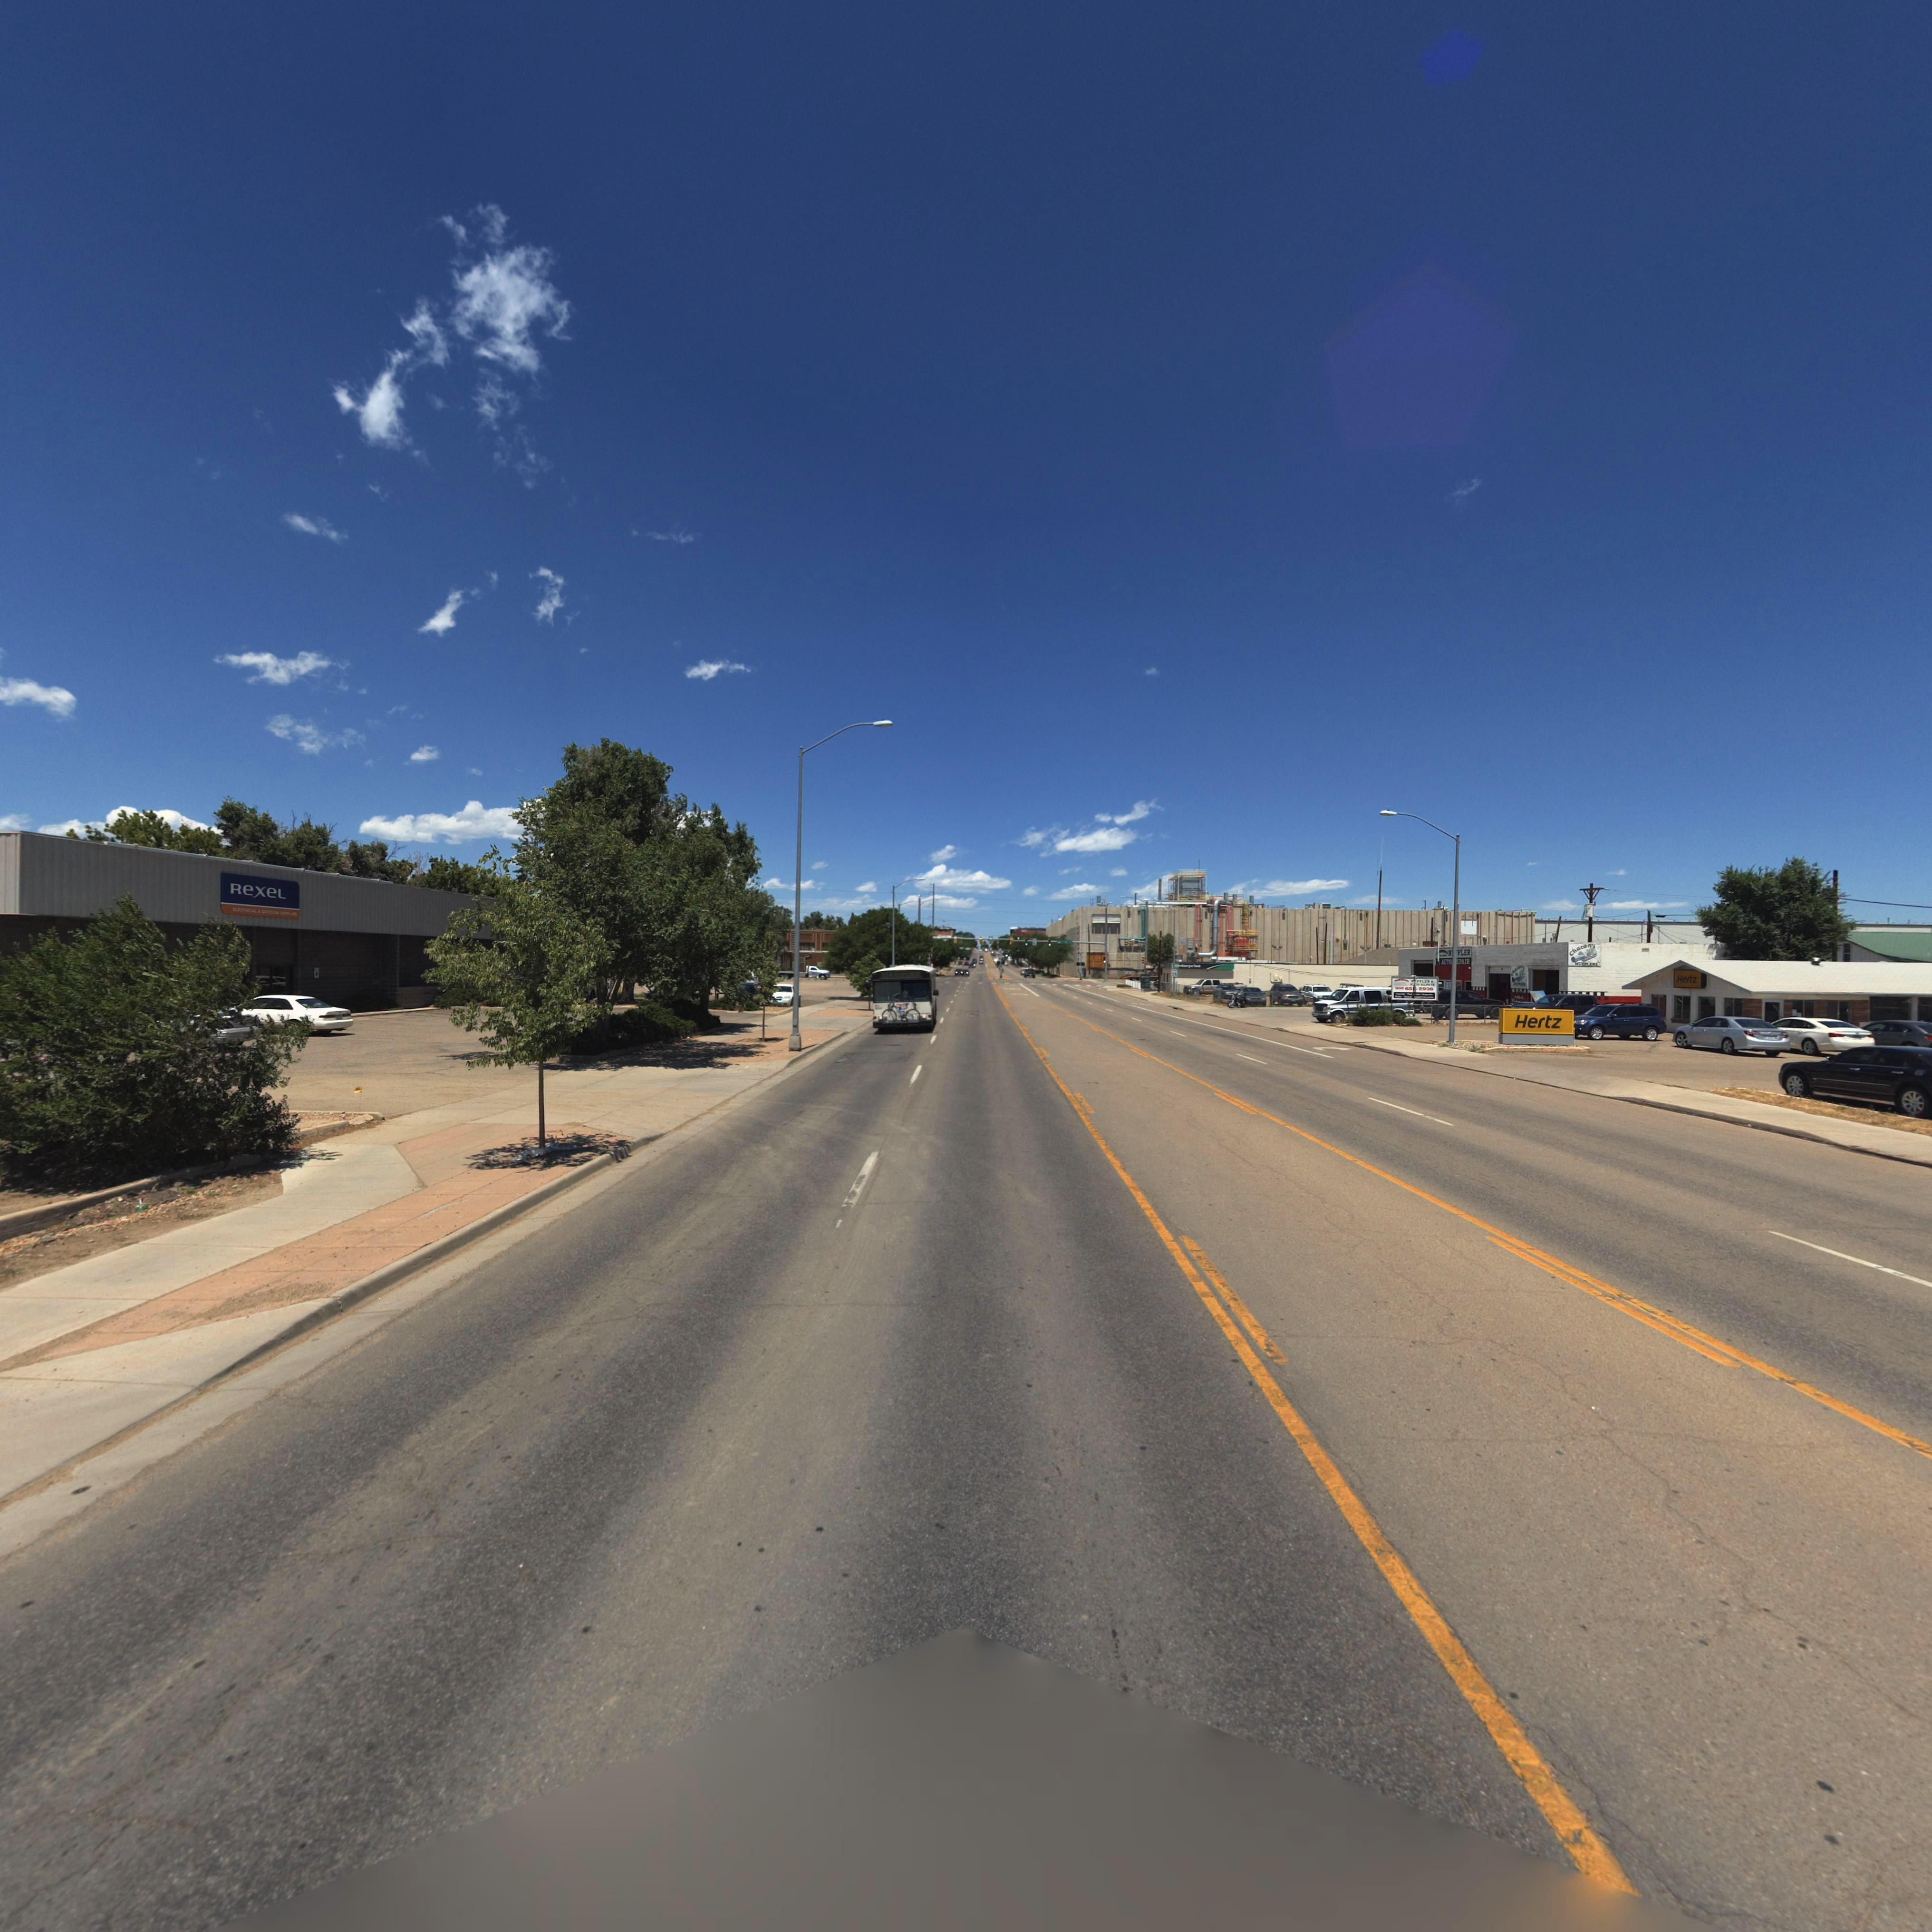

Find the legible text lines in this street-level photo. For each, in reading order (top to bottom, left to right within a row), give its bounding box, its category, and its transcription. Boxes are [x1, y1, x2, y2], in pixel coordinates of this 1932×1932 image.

[231, 882, 287, 899] BusinessName: ReXeL
[1061, 940, 1068, 943] StreetName: 1ST Ave
[1569, 943, 1596, 956] BusinessName: Chacon's
[1174, 964, 1200, 968] BusinessName: enterprise
[1574, 961, 1598, 966] BusinessName: M***LERS
[1676, 974, 1697, 984] BusinessName: Hertz
[1513, 1013, 1563, 1029] BusinessName: Hertz